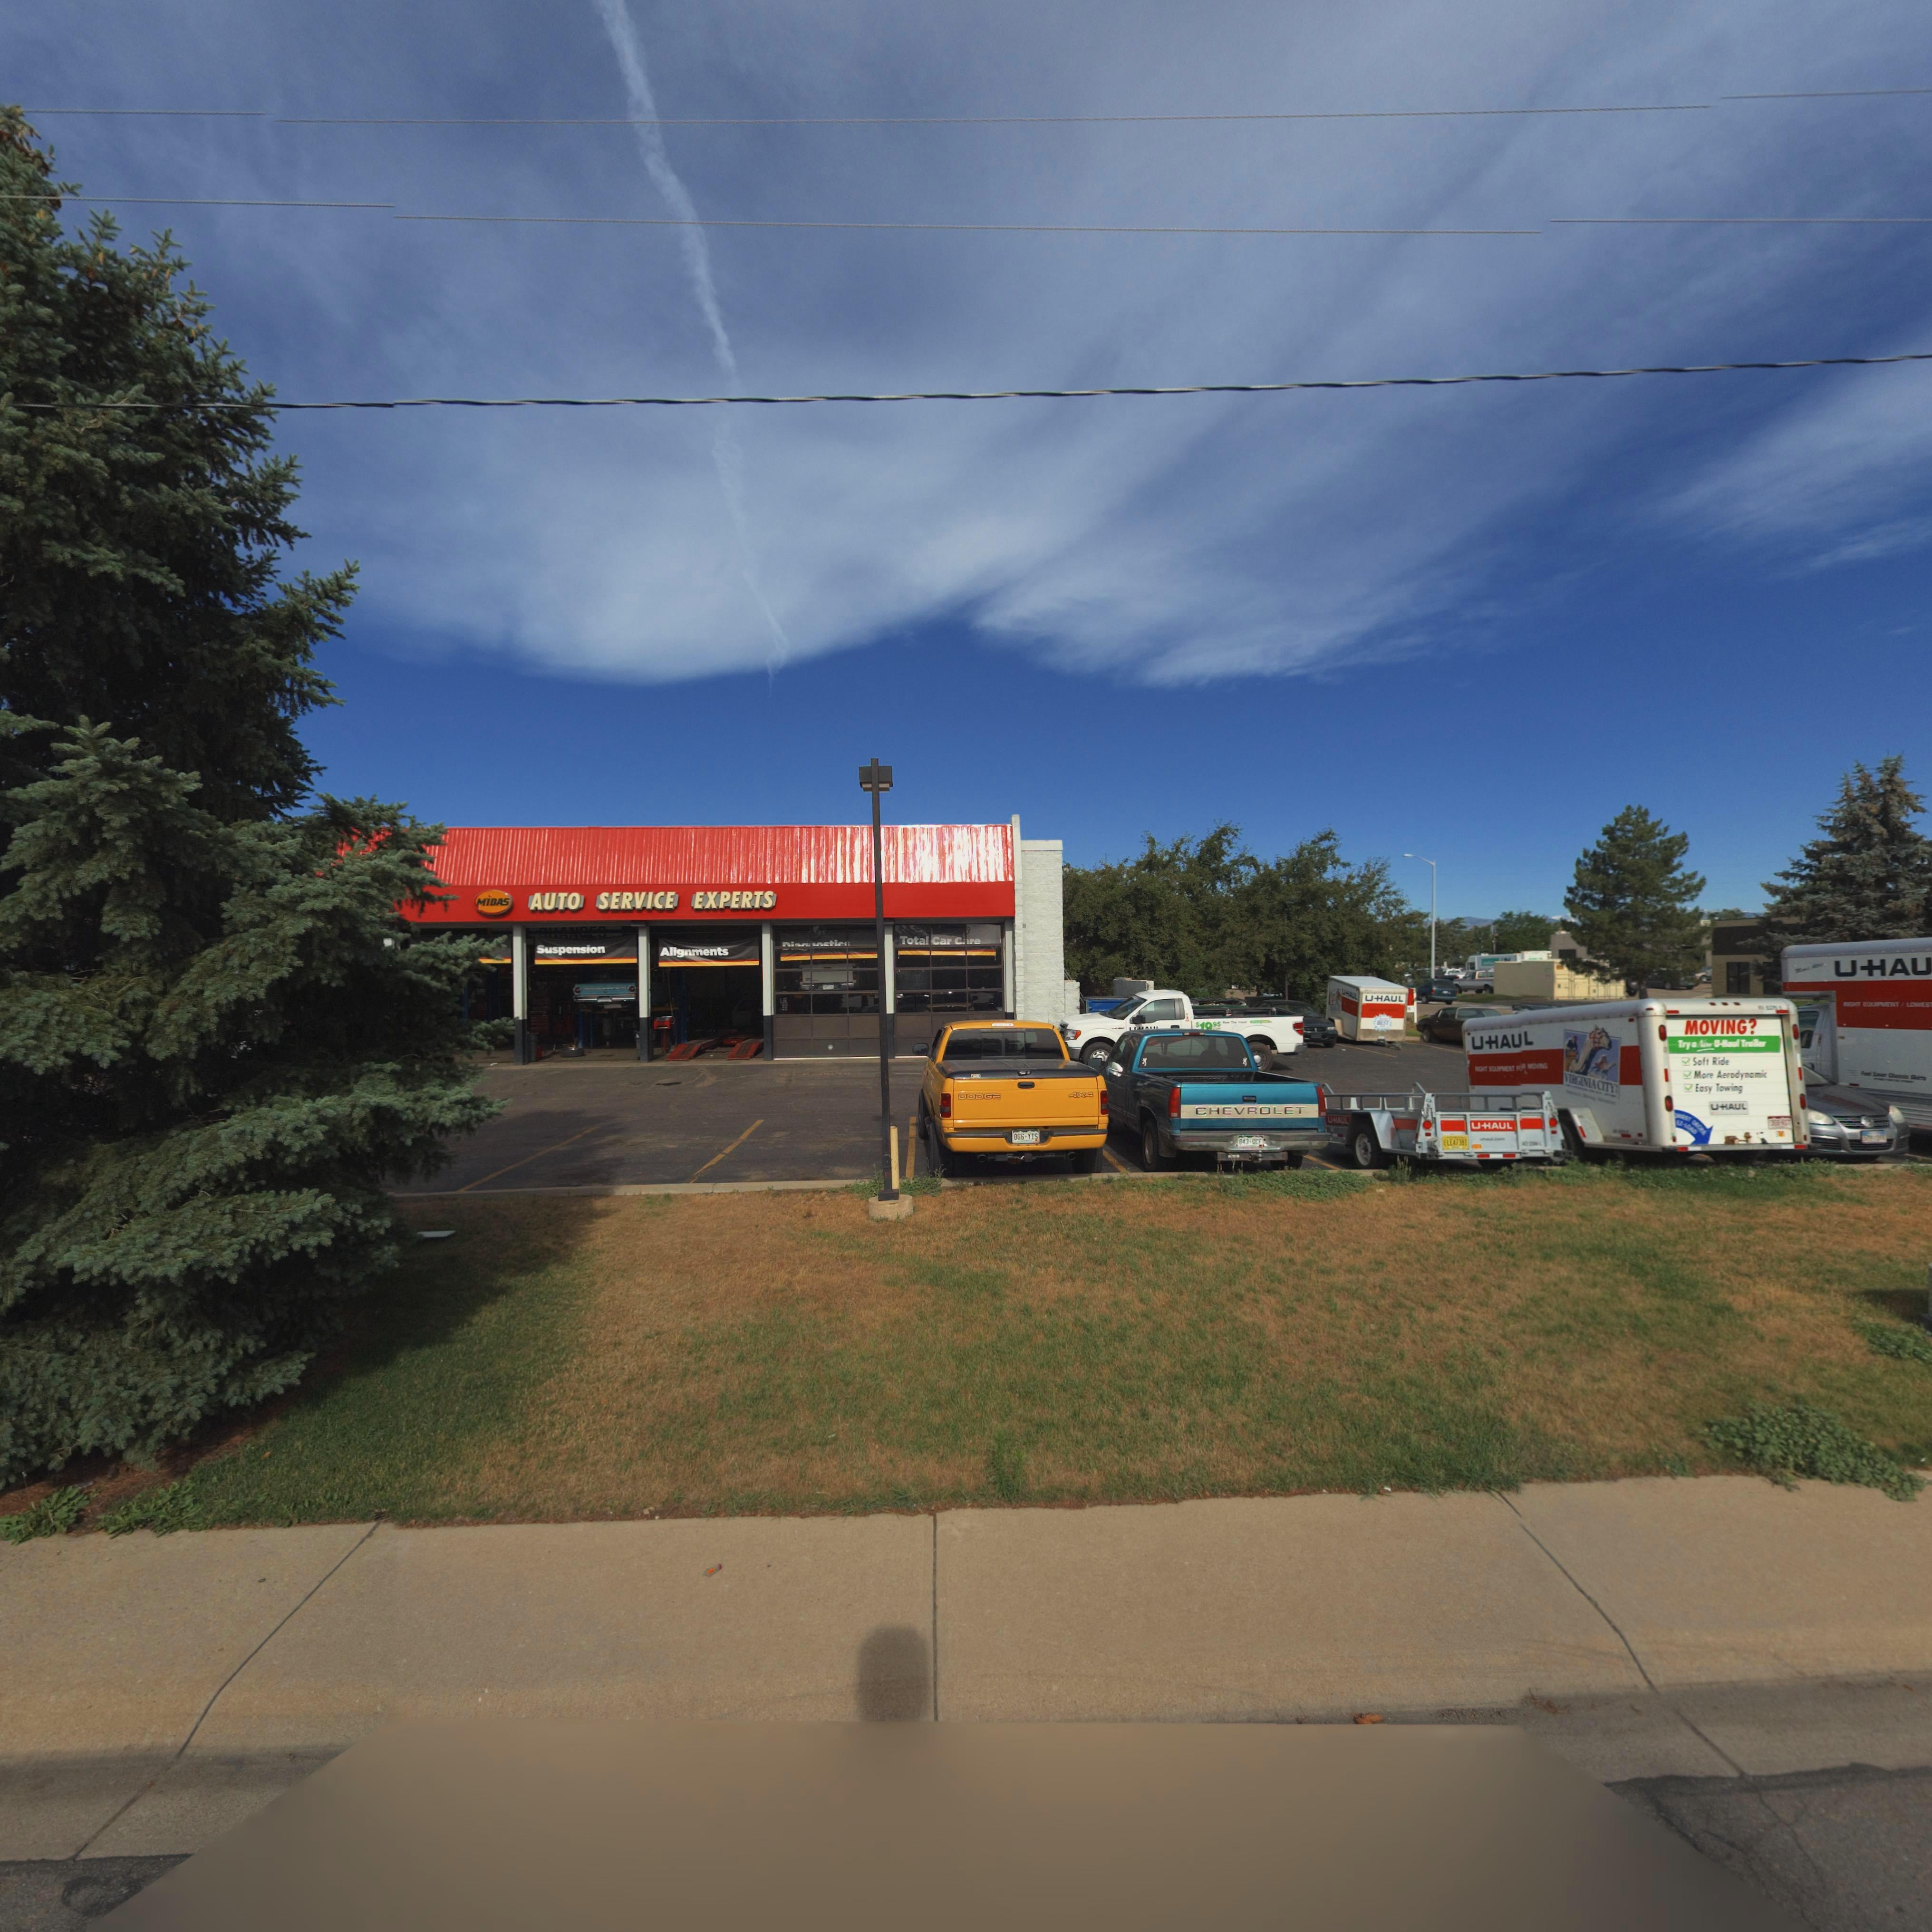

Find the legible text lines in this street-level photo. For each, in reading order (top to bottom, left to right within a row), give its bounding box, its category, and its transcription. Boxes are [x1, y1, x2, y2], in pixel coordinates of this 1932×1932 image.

[475, 894, 510, 906] BusinessName: MiDAS
[528, 890, 774, 911] BusinessName: AUTO SERVICE ESPERTS